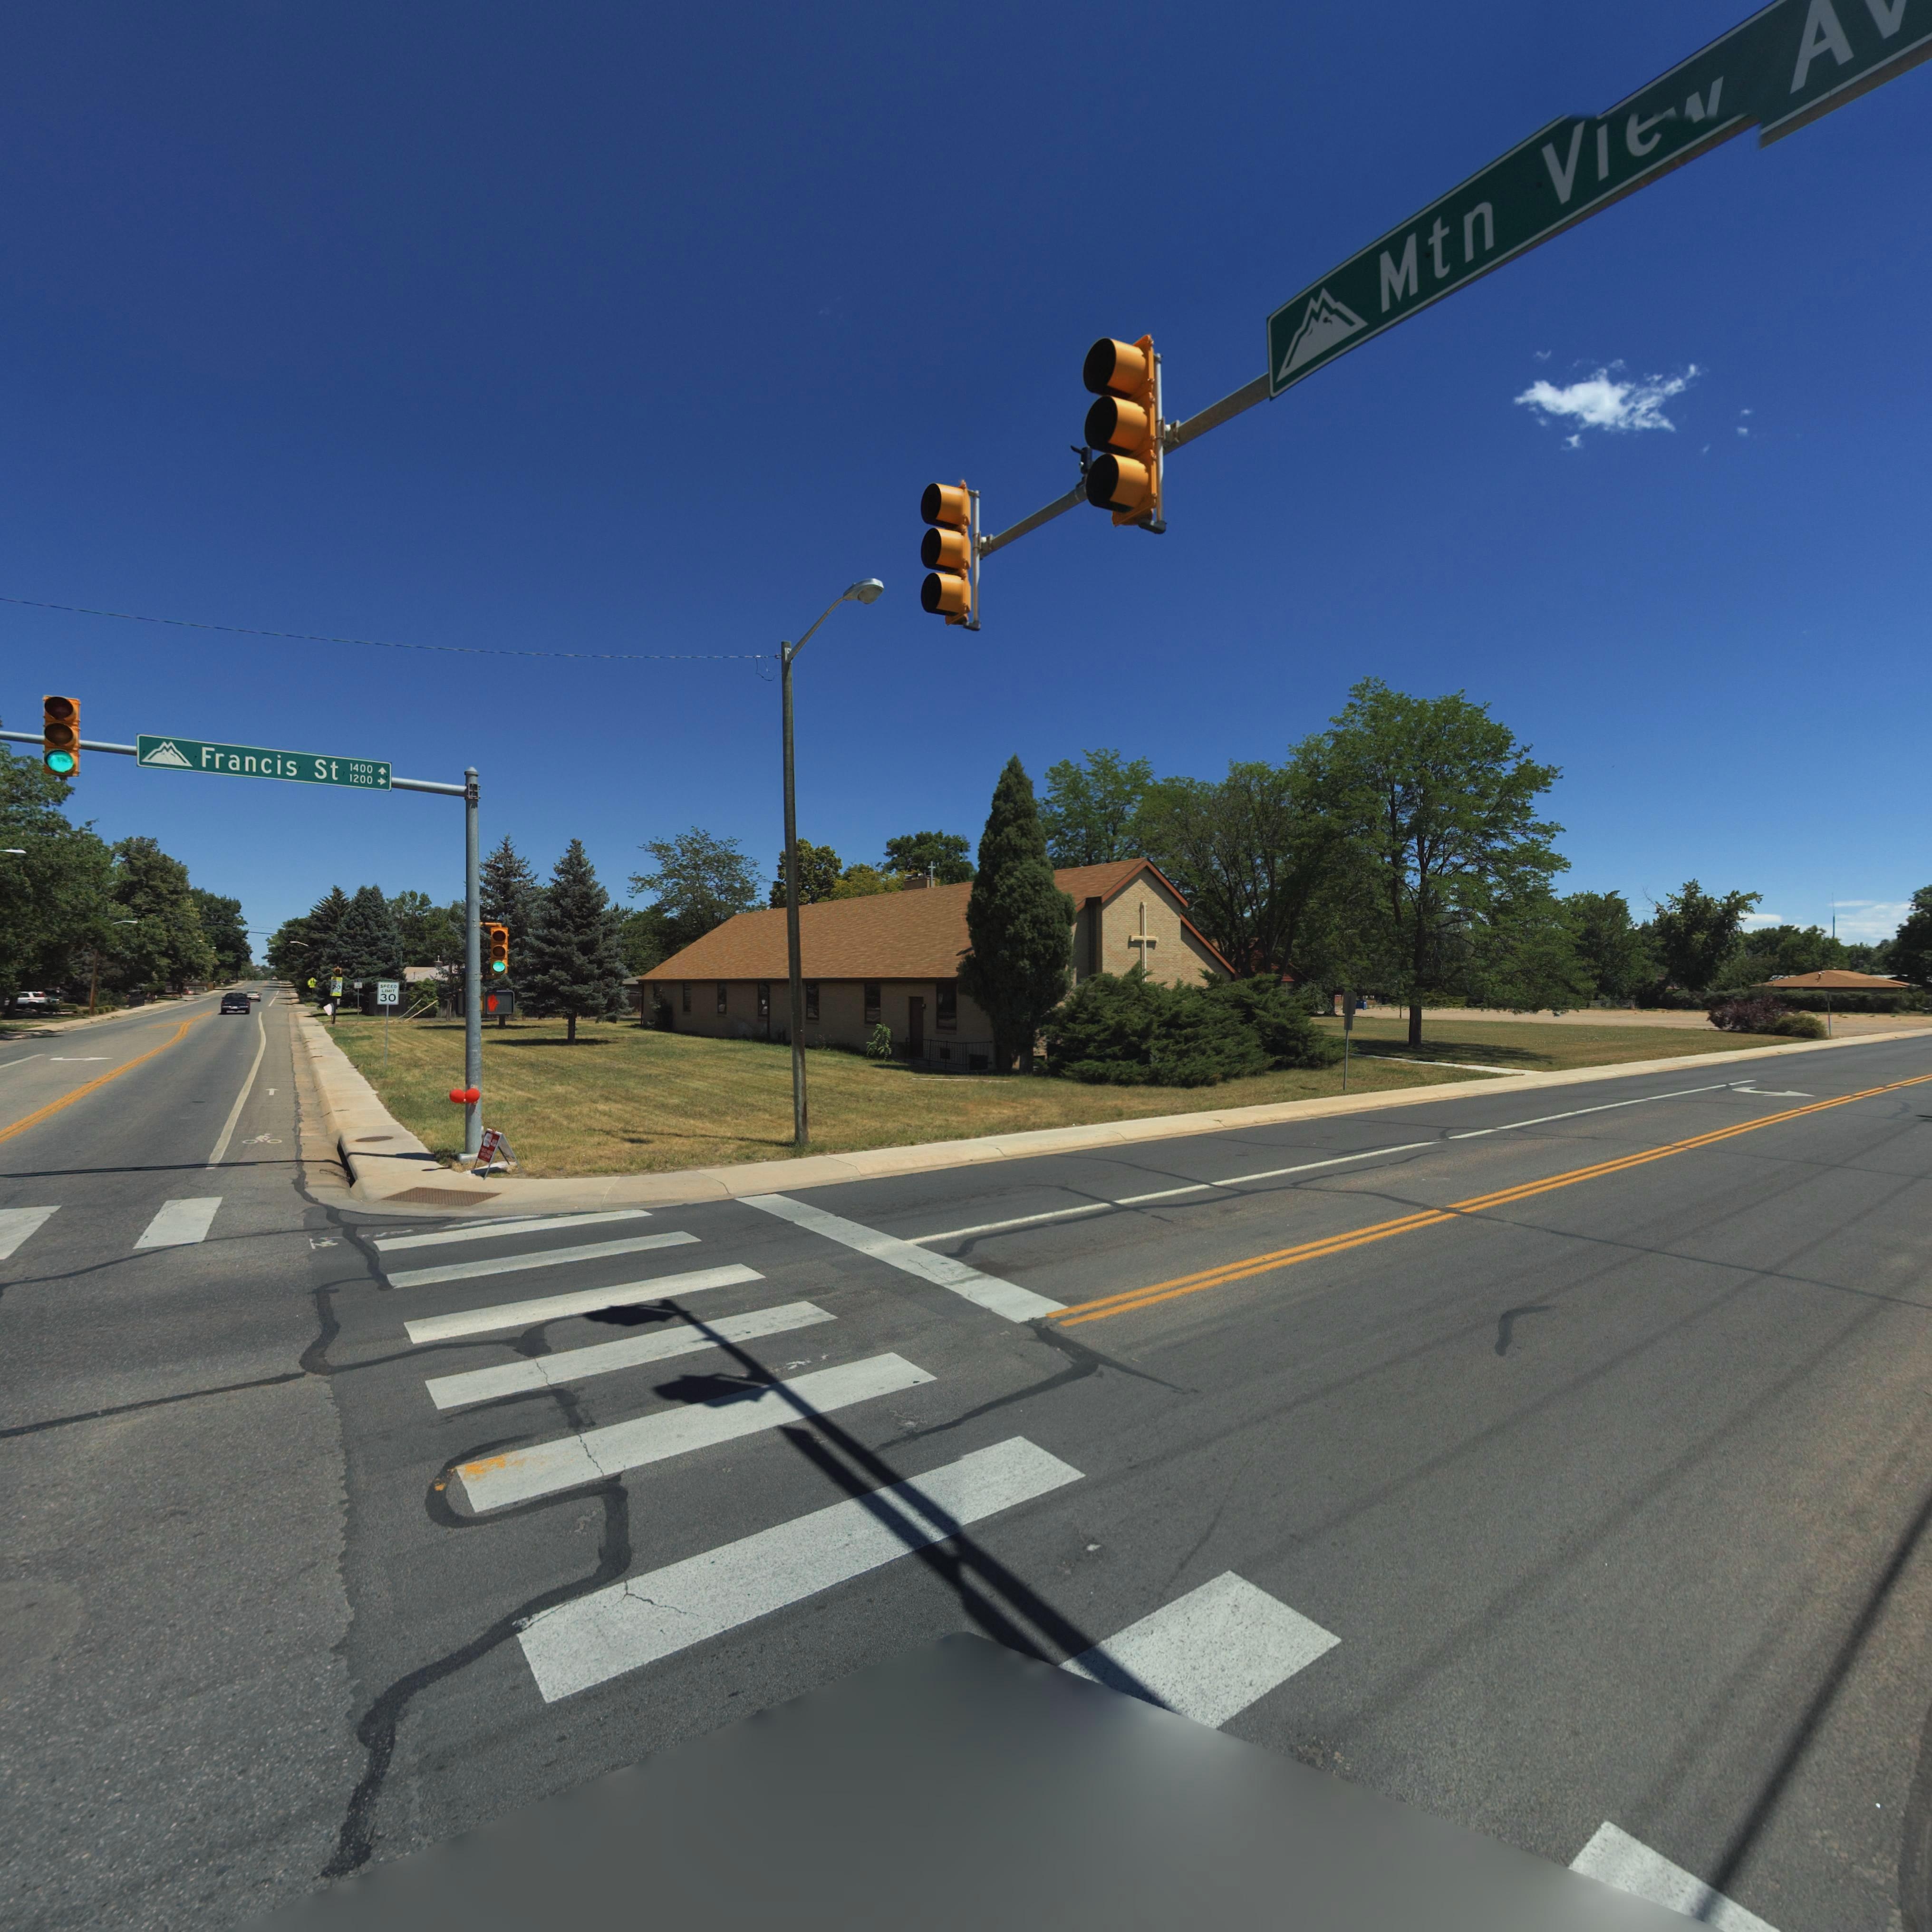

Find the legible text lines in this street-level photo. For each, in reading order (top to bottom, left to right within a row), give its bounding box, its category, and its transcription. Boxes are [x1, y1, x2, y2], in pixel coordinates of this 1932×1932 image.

[1378, 75, 1726, 314] StreetName: Mtn Vi**
[201, 745, 339, 781] StreetName: Francis St
[349, 762, 372, 774] StreetNumberRange: 1400
[349, 773, 387, 785] StreetNumberRange: 1200 ->